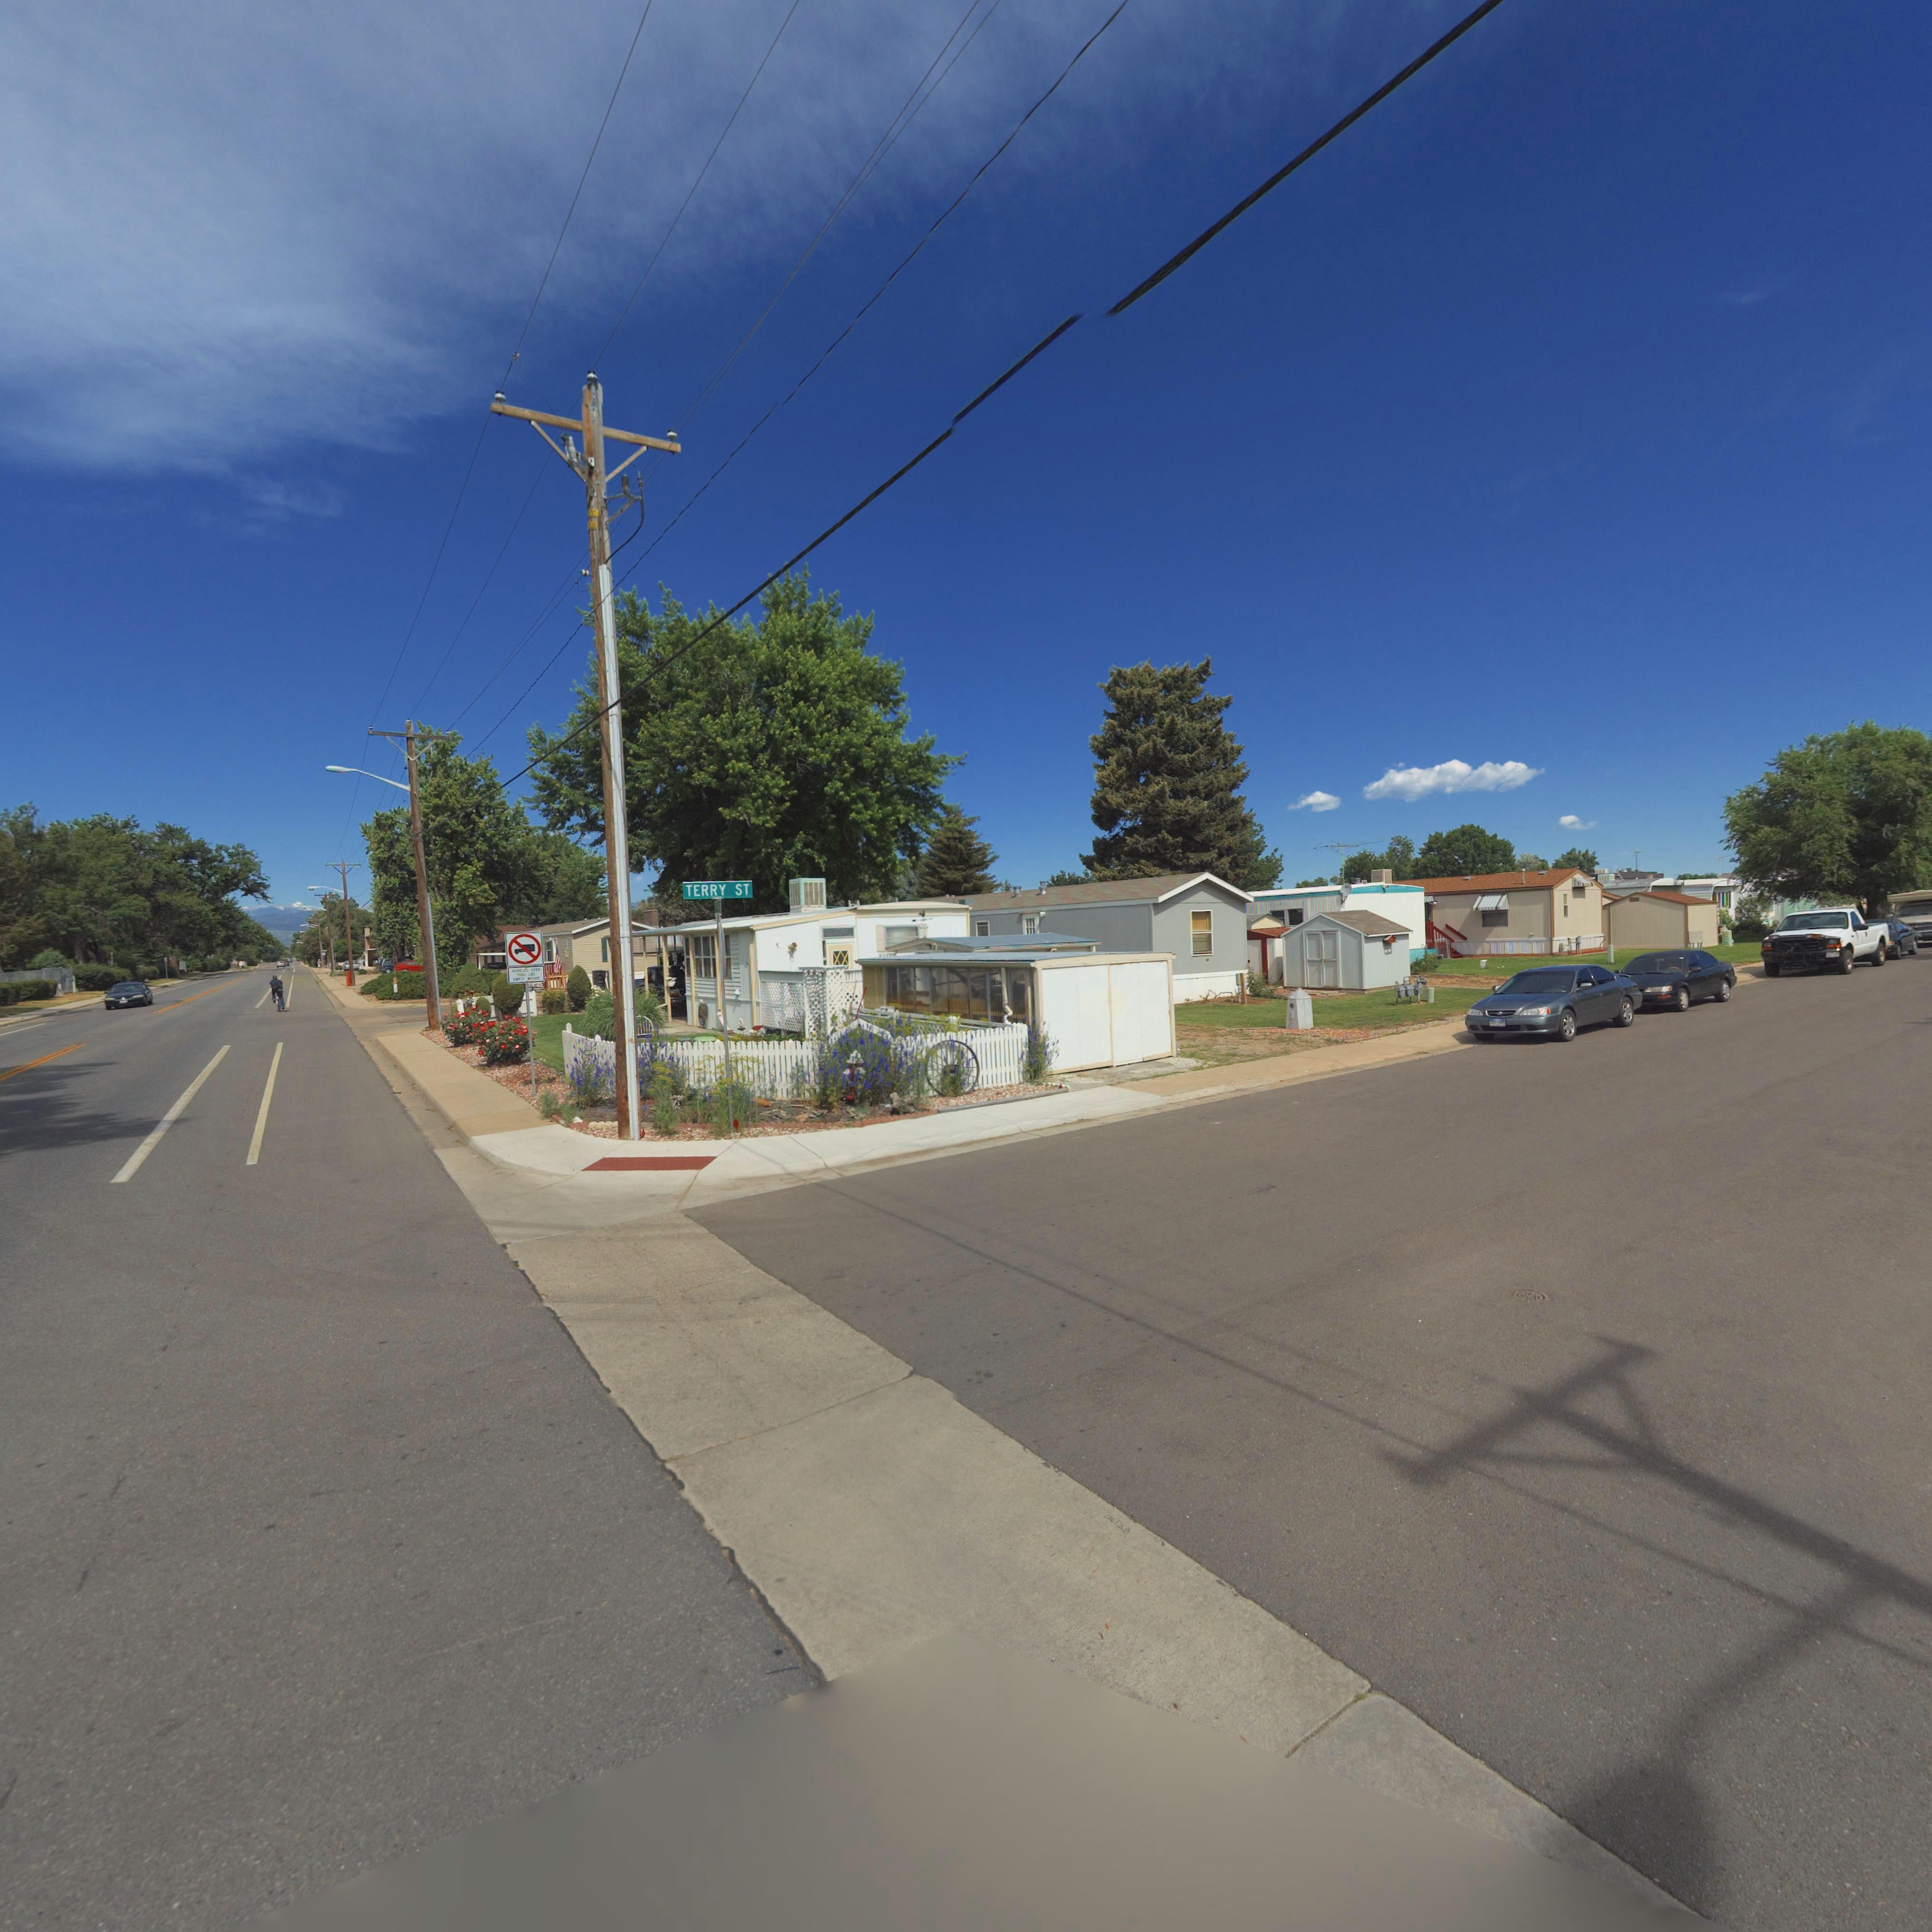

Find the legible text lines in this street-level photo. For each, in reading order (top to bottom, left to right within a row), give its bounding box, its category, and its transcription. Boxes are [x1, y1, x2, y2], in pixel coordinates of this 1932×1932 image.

[685, 883, 750, 897] StreetName: TERRY ST